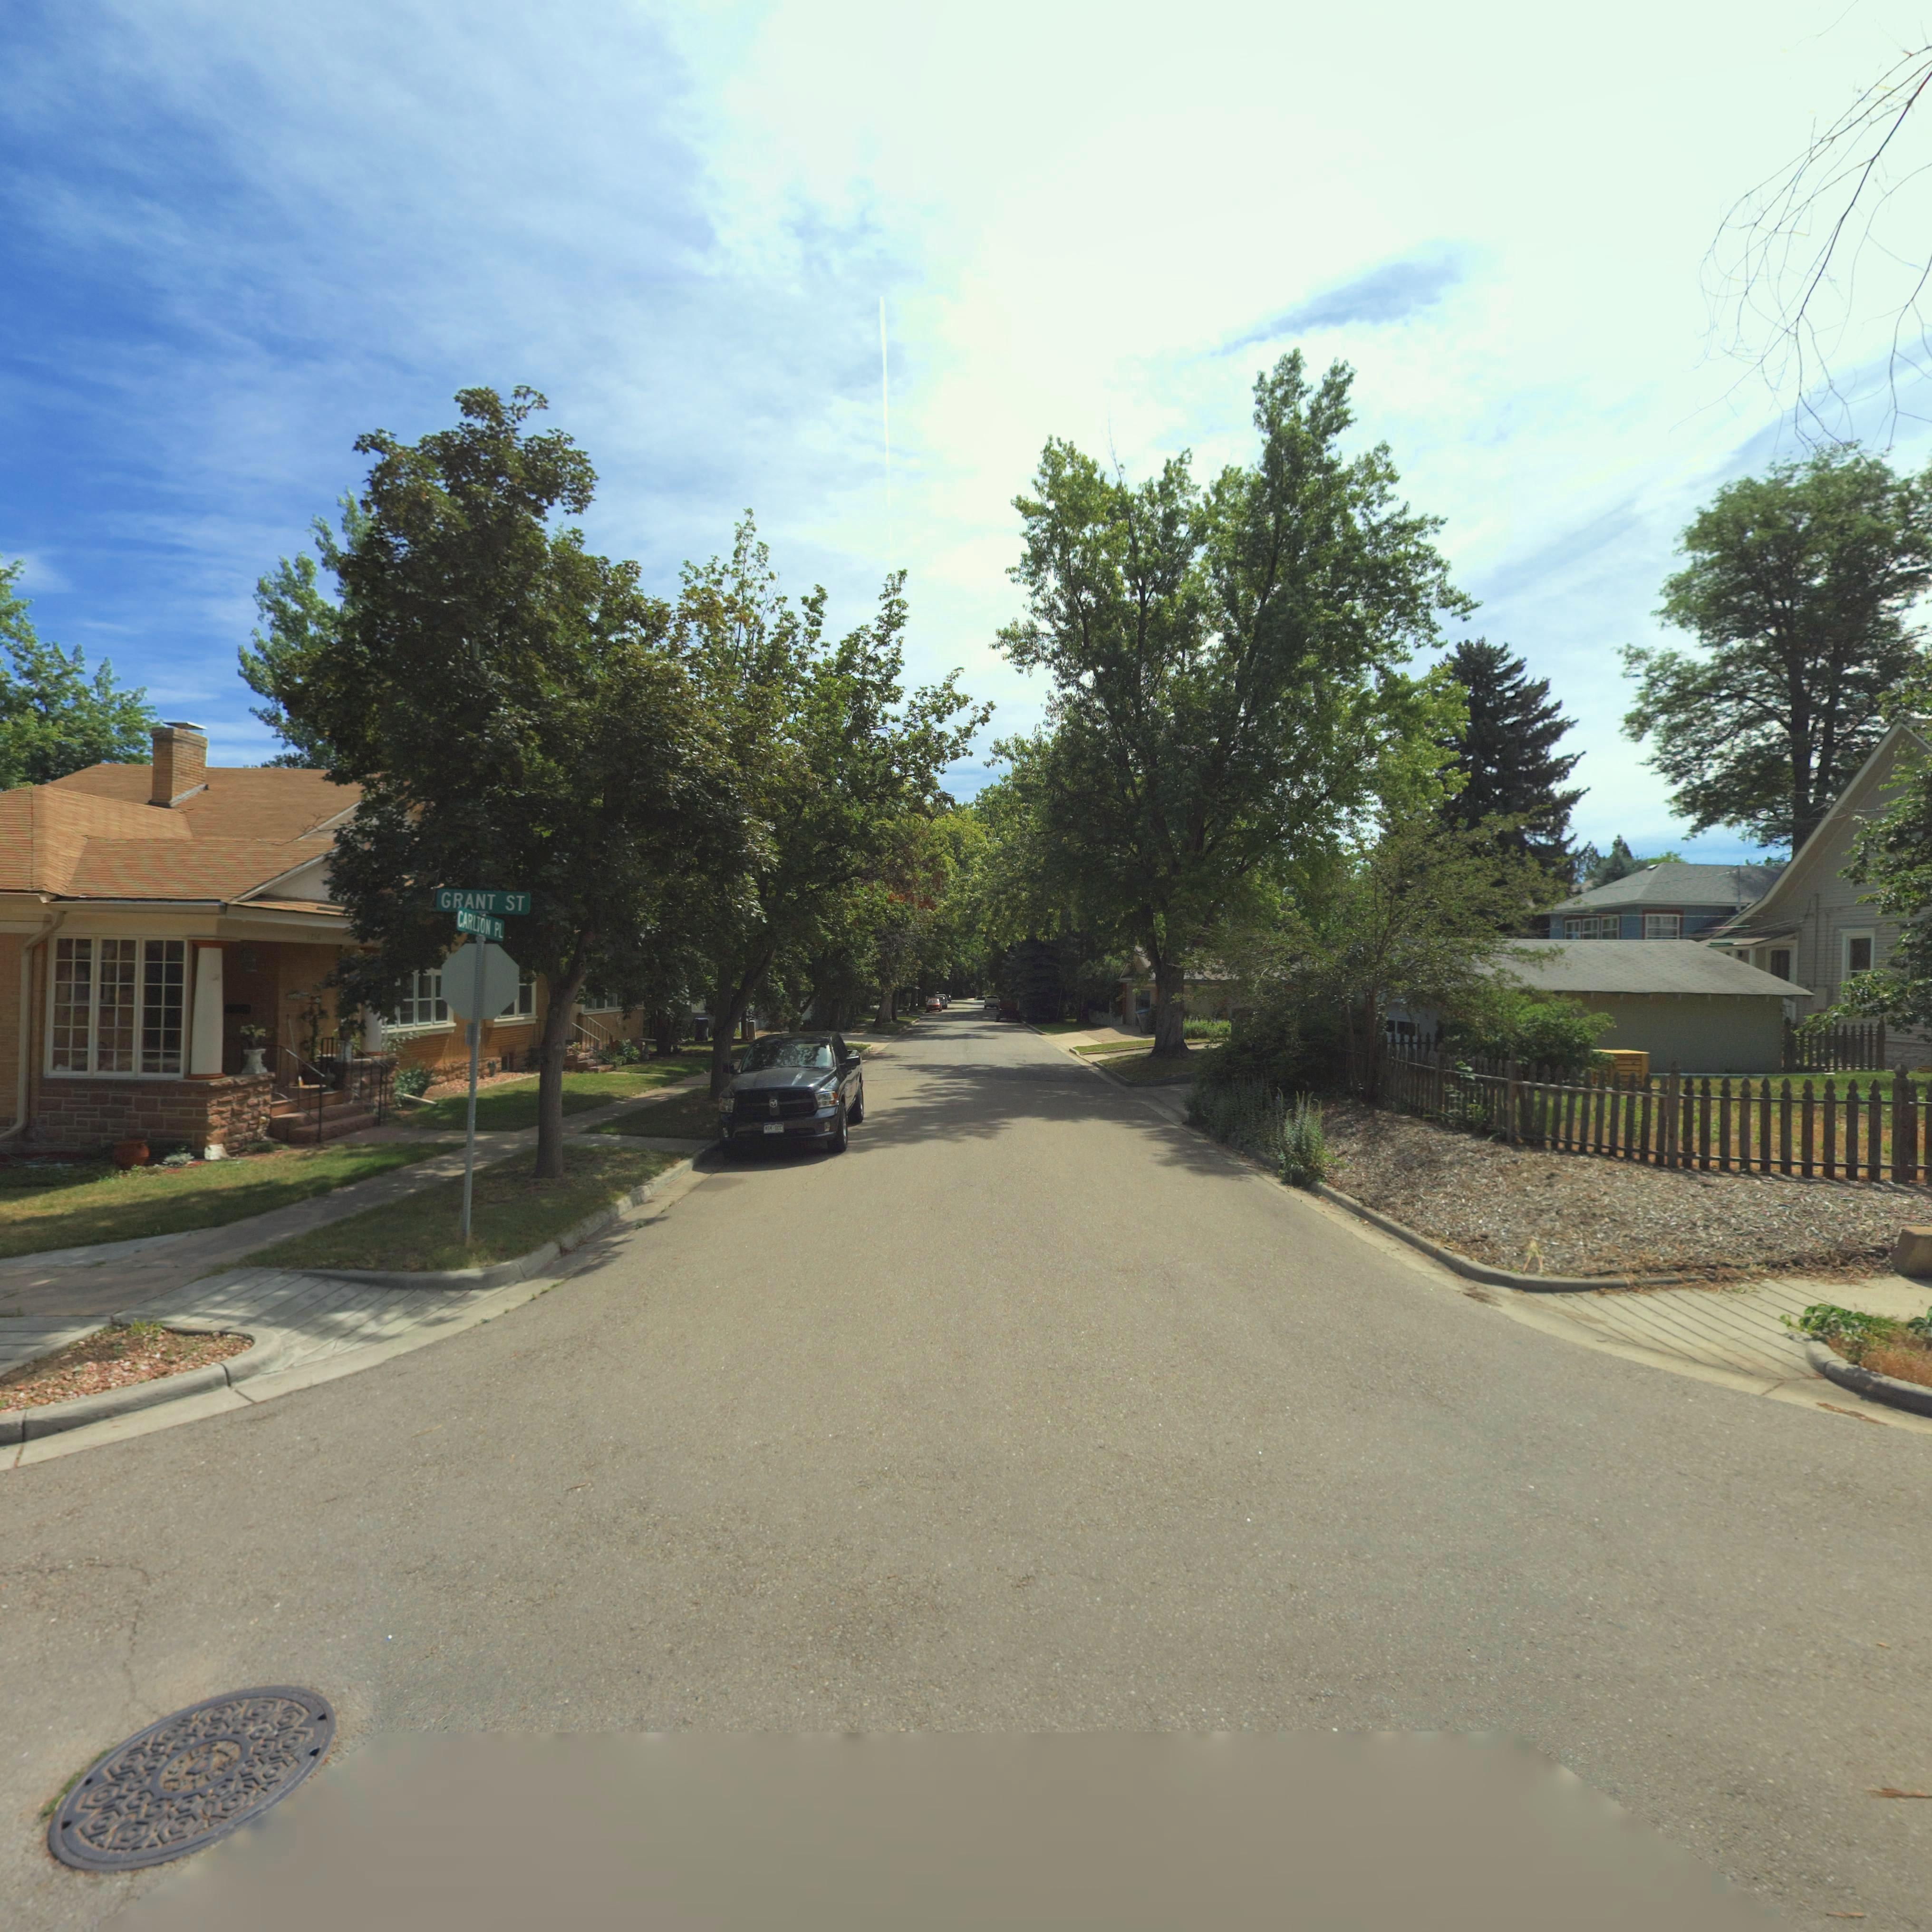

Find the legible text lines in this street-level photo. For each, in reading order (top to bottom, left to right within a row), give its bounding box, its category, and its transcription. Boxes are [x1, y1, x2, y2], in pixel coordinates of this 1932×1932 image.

[441, 891, 525, 911] StreetName: GRANT ST
[457, 909, 503, 938] StreetName: CARLTON PL